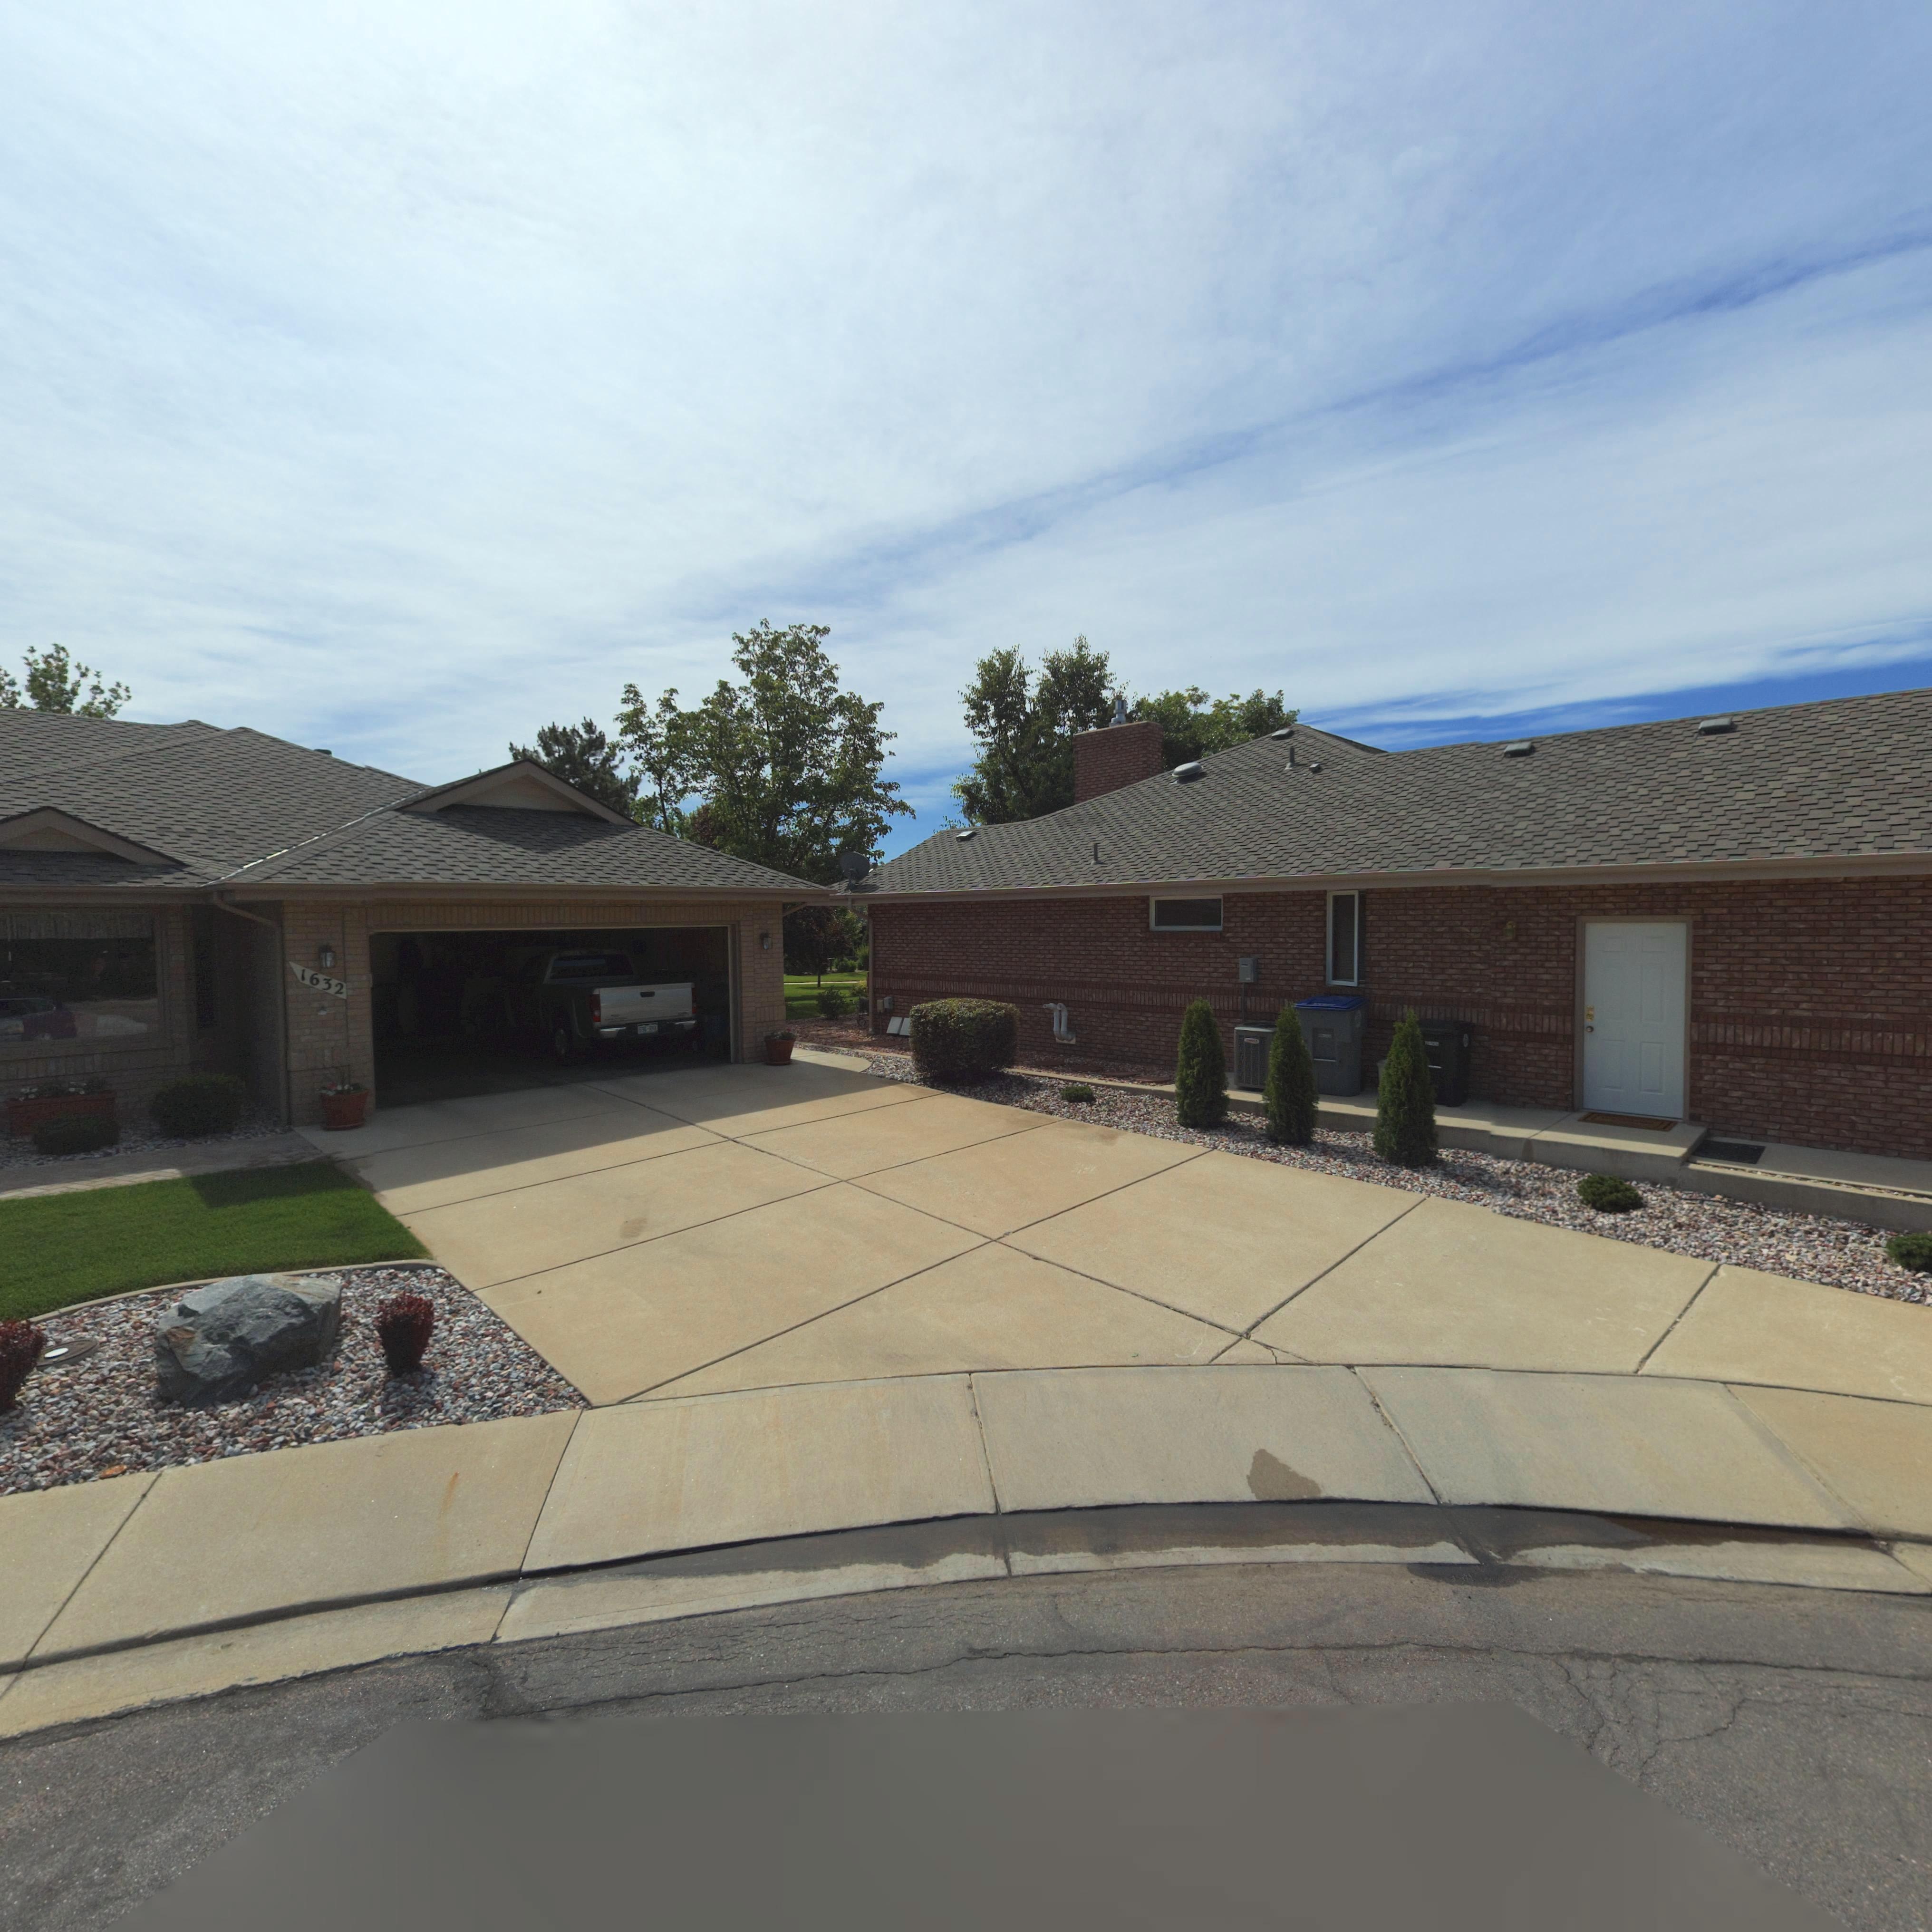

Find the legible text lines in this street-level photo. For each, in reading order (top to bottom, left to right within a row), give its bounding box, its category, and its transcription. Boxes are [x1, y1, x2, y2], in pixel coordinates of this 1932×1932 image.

[300, 967, 344, 995] StreetNumber: 1632